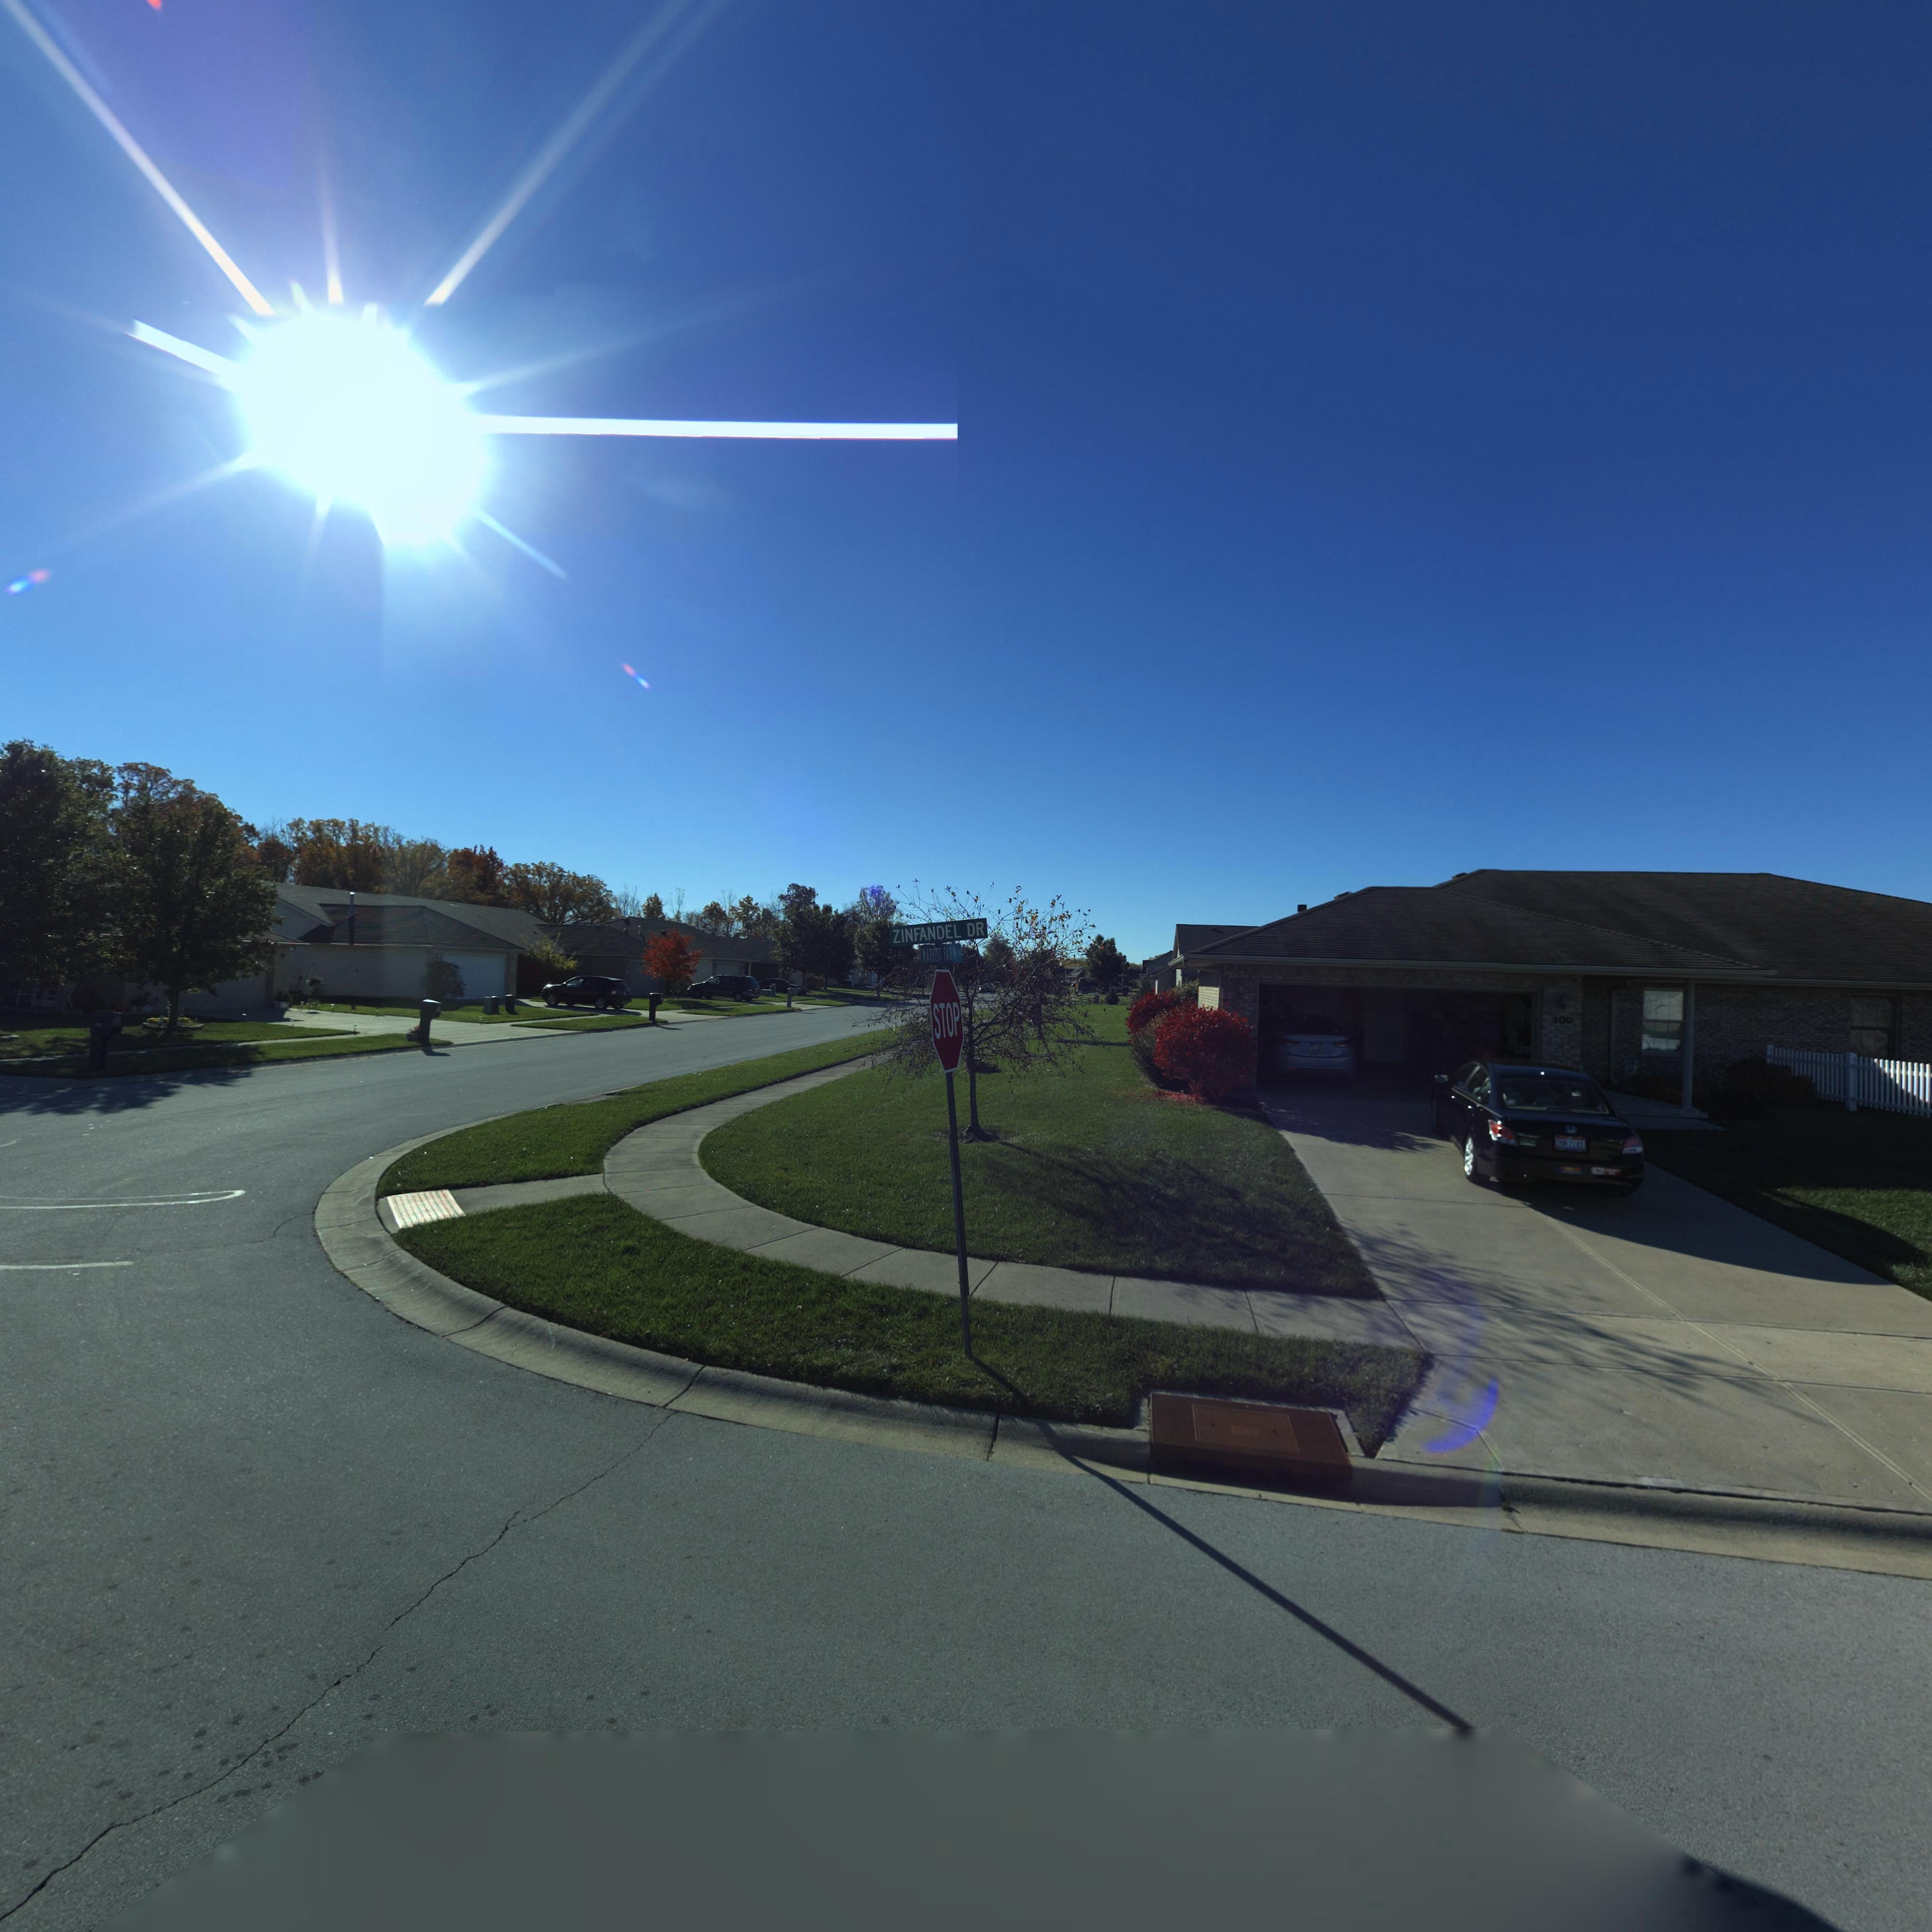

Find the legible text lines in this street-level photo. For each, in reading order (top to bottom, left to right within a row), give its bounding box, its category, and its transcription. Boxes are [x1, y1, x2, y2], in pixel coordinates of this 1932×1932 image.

[1553, 1015, 1574, 1025] StreetNumber: 100